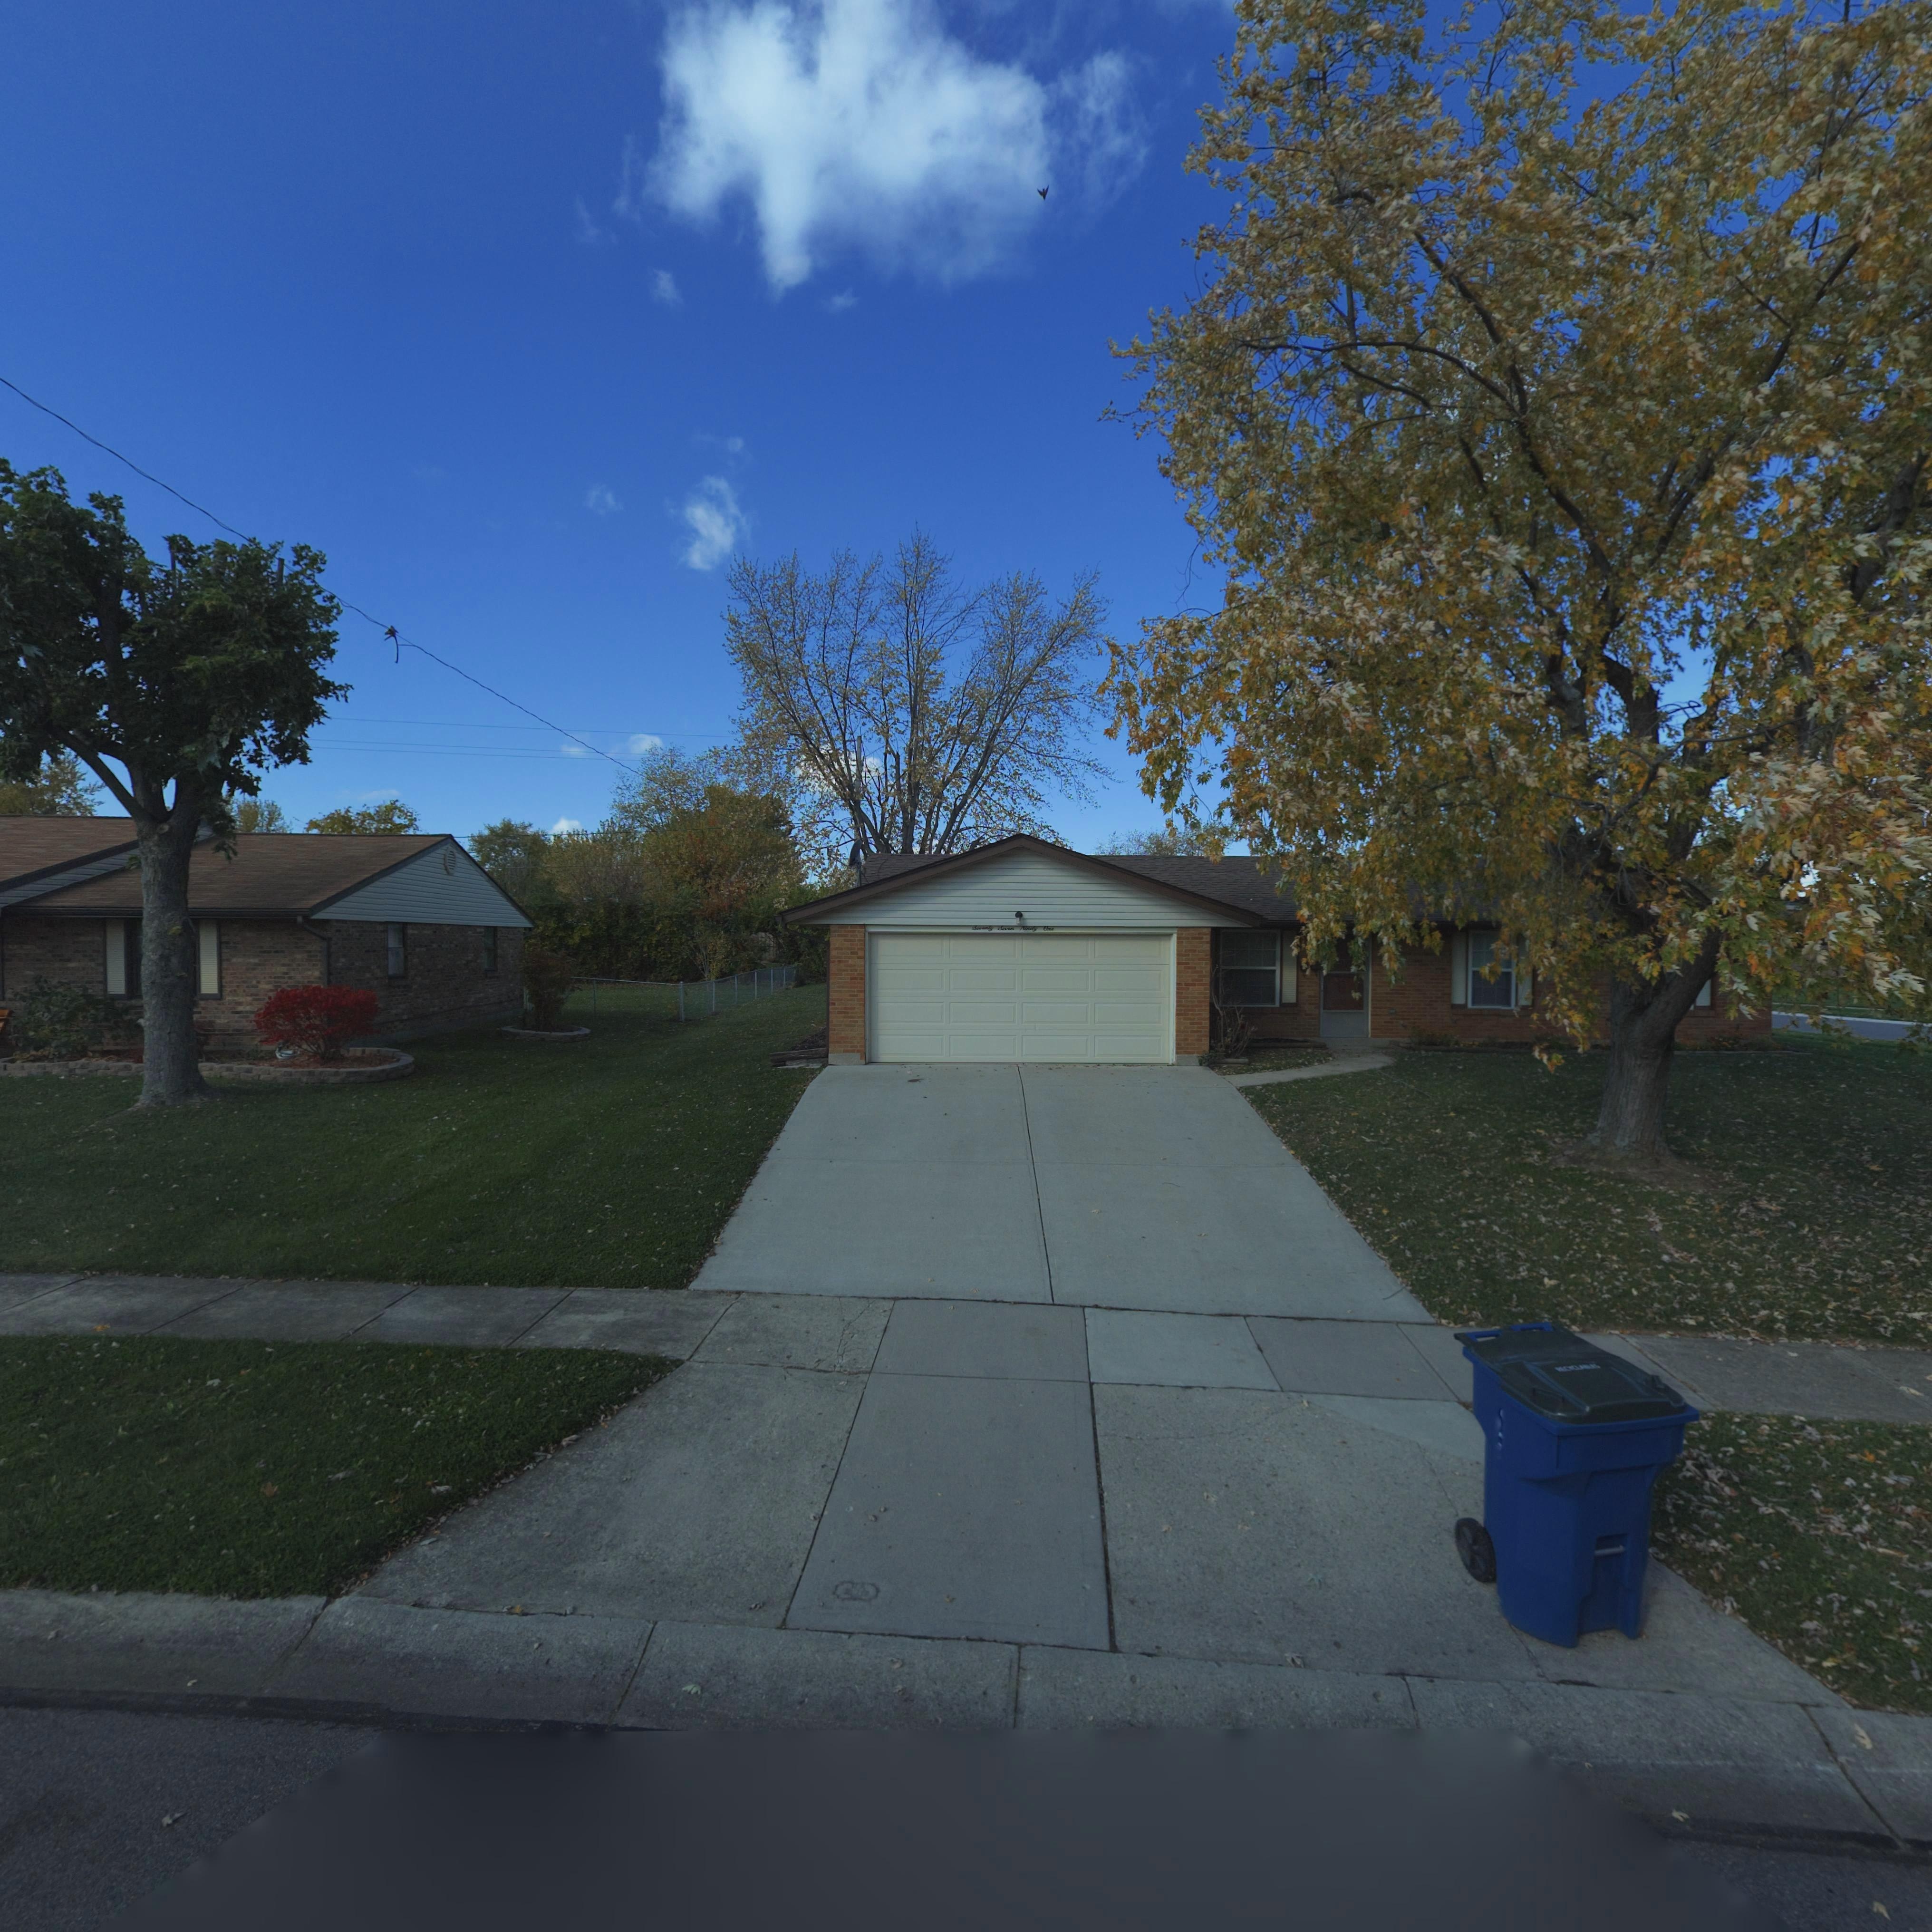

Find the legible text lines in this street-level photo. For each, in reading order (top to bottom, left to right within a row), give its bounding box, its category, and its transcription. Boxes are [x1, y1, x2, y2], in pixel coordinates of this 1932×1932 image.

[1018, 925, 1055, 933] StreetNumber: N***y On*